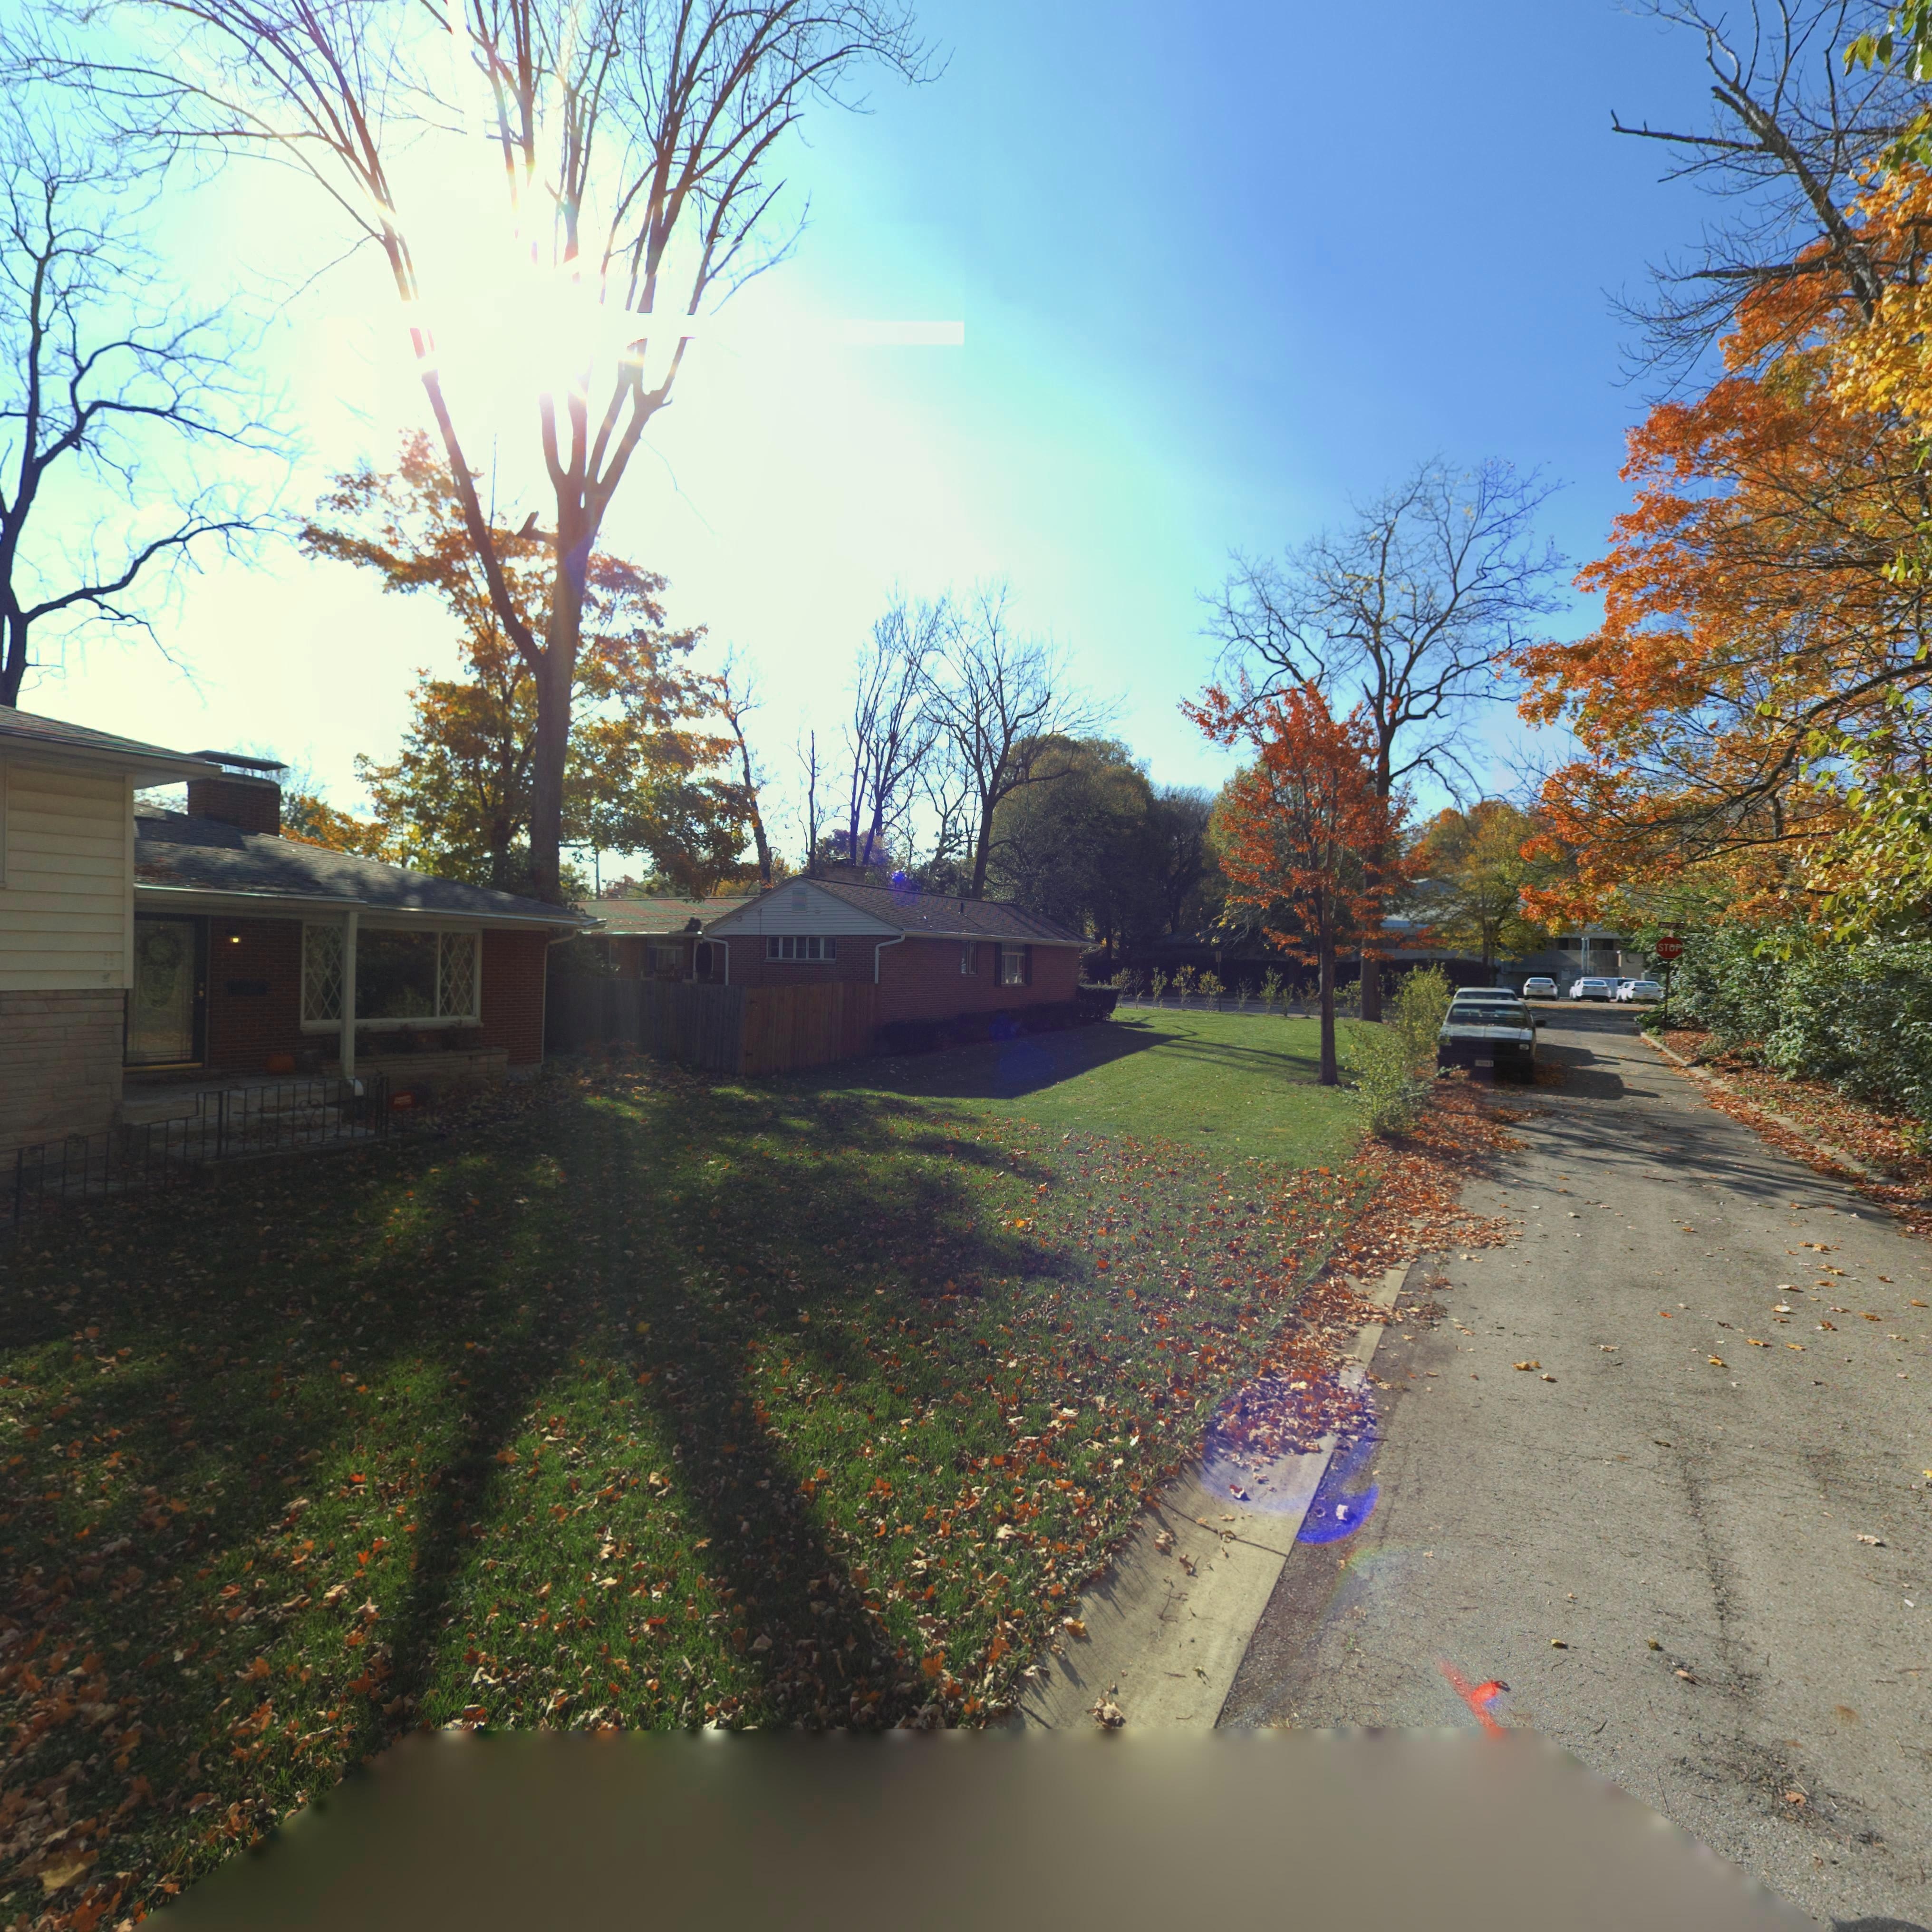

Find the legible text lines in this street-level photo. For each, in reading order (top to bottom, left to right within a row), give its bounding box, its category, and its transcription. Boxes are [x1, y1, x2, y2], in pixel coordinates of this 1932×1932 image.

[1658, 943, 1682, 952] None: ST**